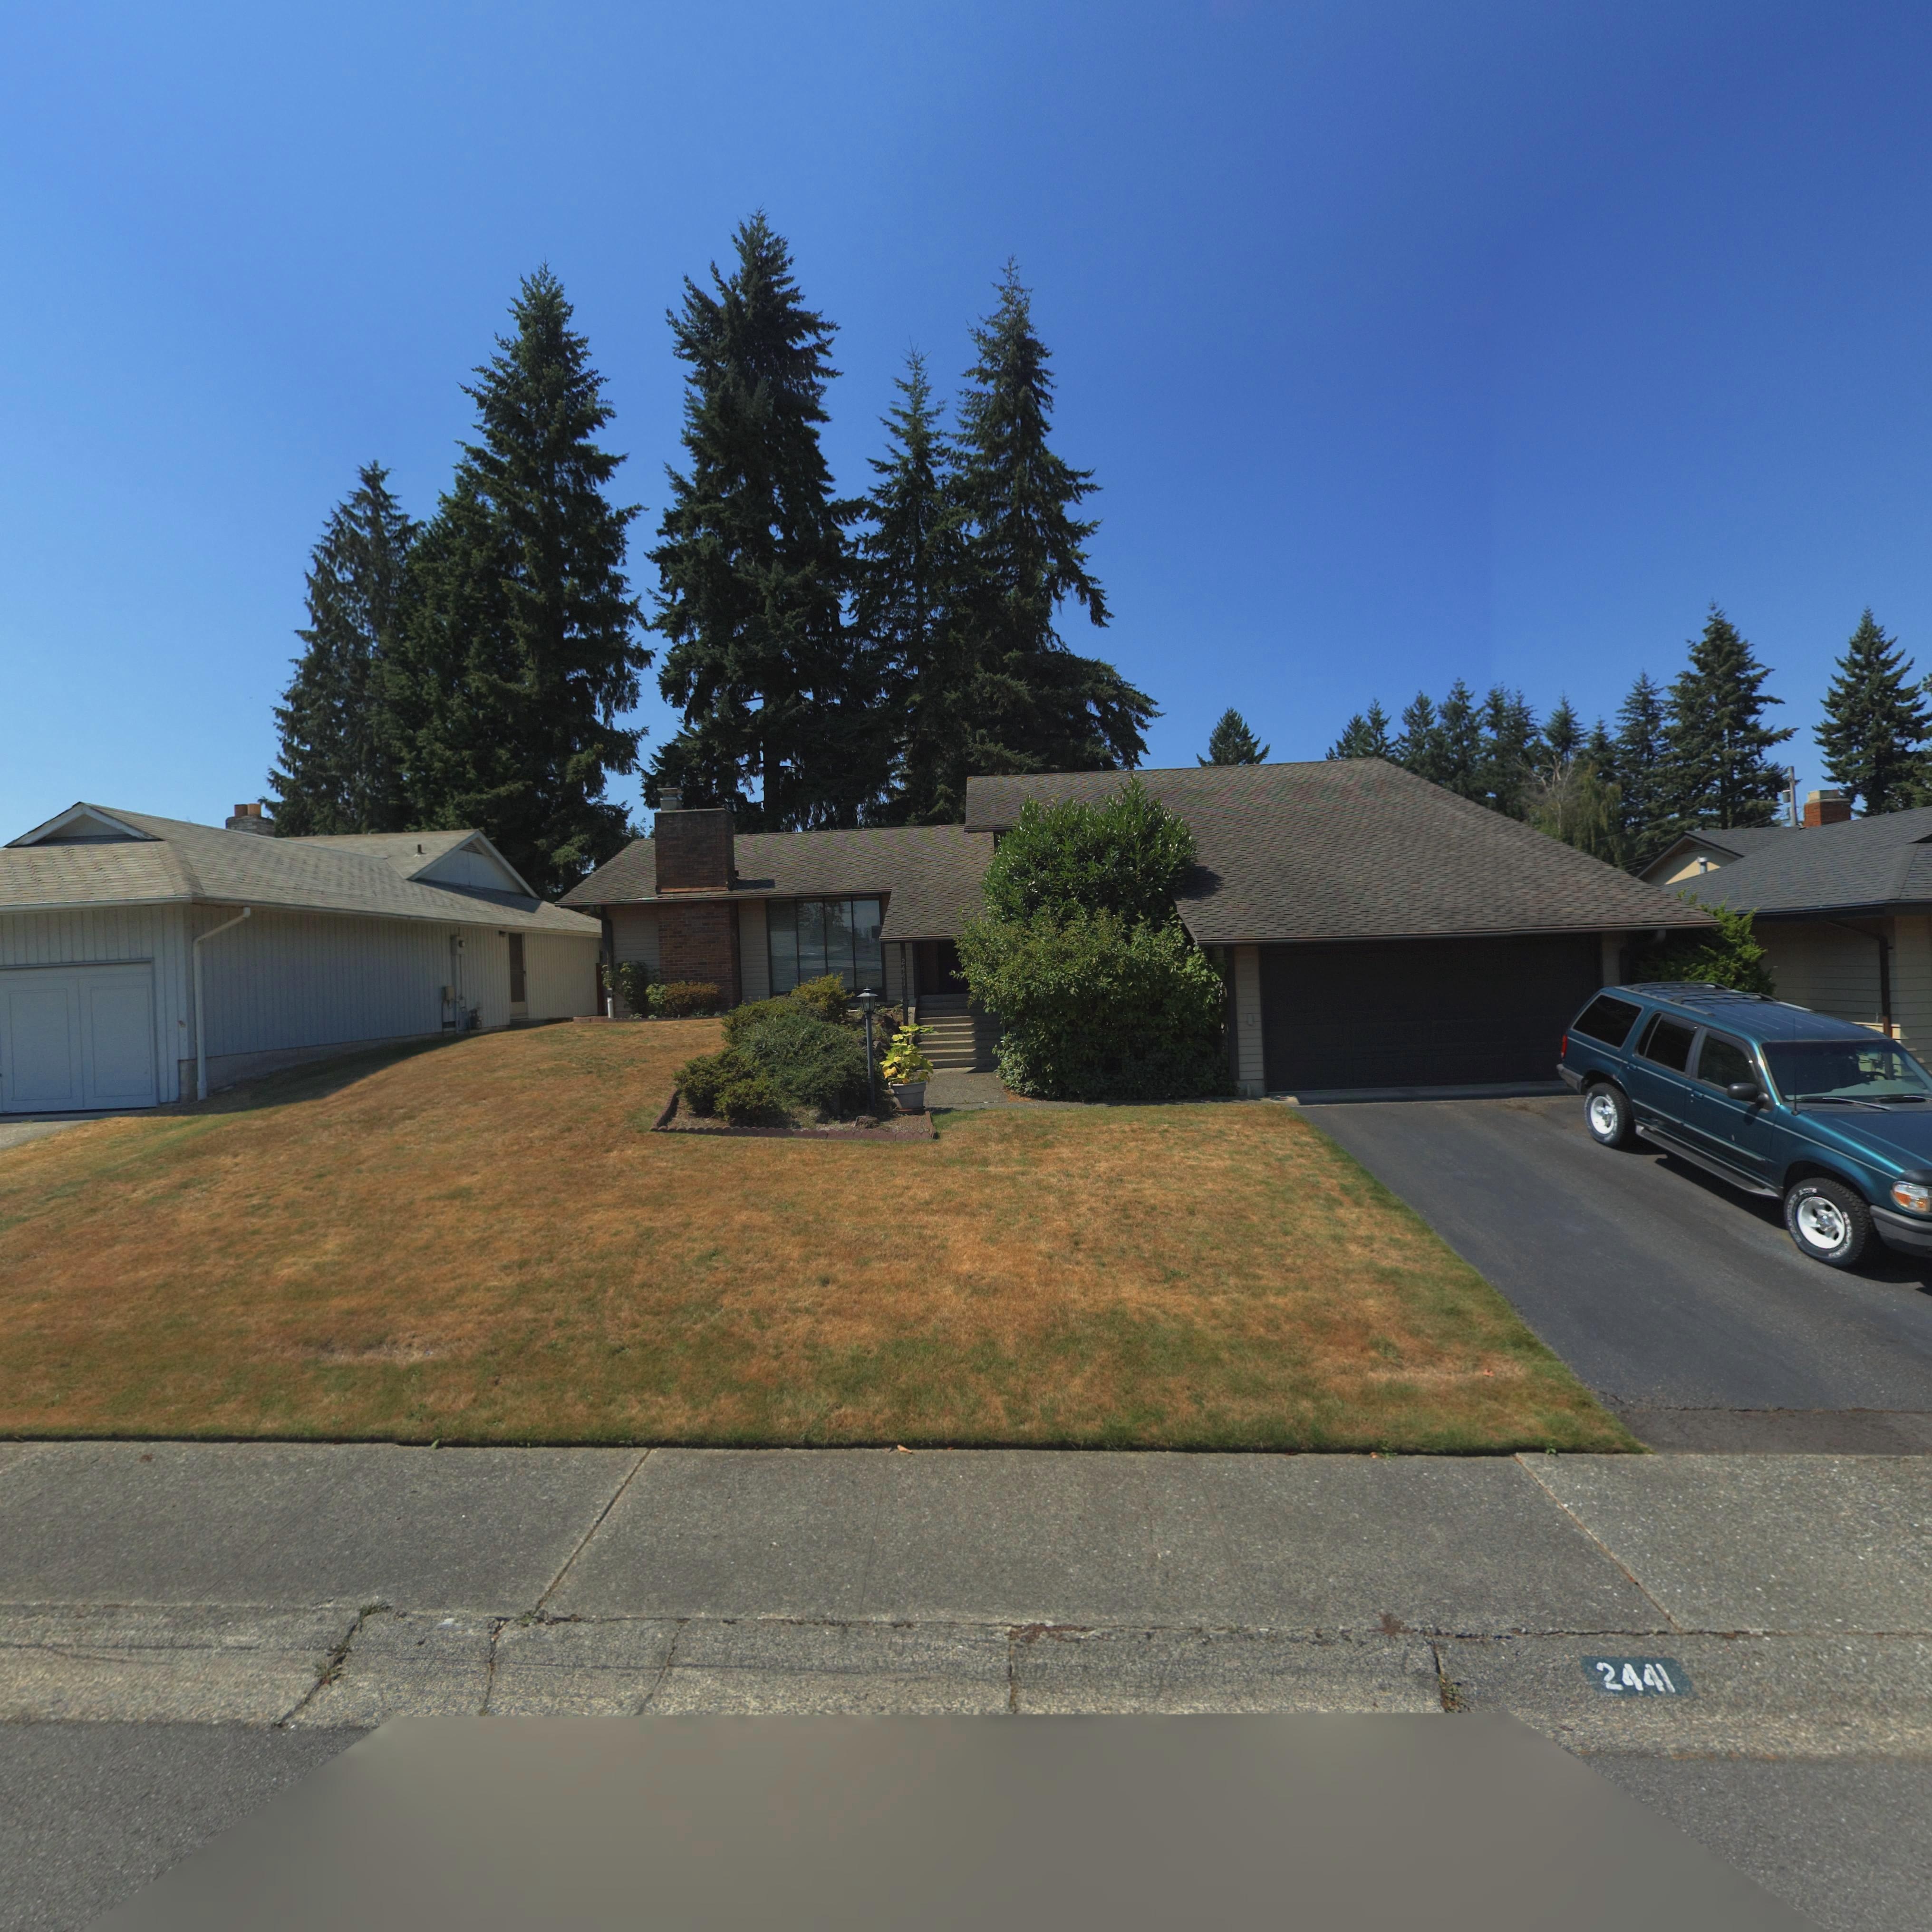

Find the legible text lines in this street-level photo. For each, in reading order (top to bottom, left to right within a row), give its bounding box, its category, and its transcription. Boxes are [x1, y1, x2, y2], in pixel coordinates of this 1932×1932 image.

[1595, 1661, 1678, 1694] StreetNumber: 2441